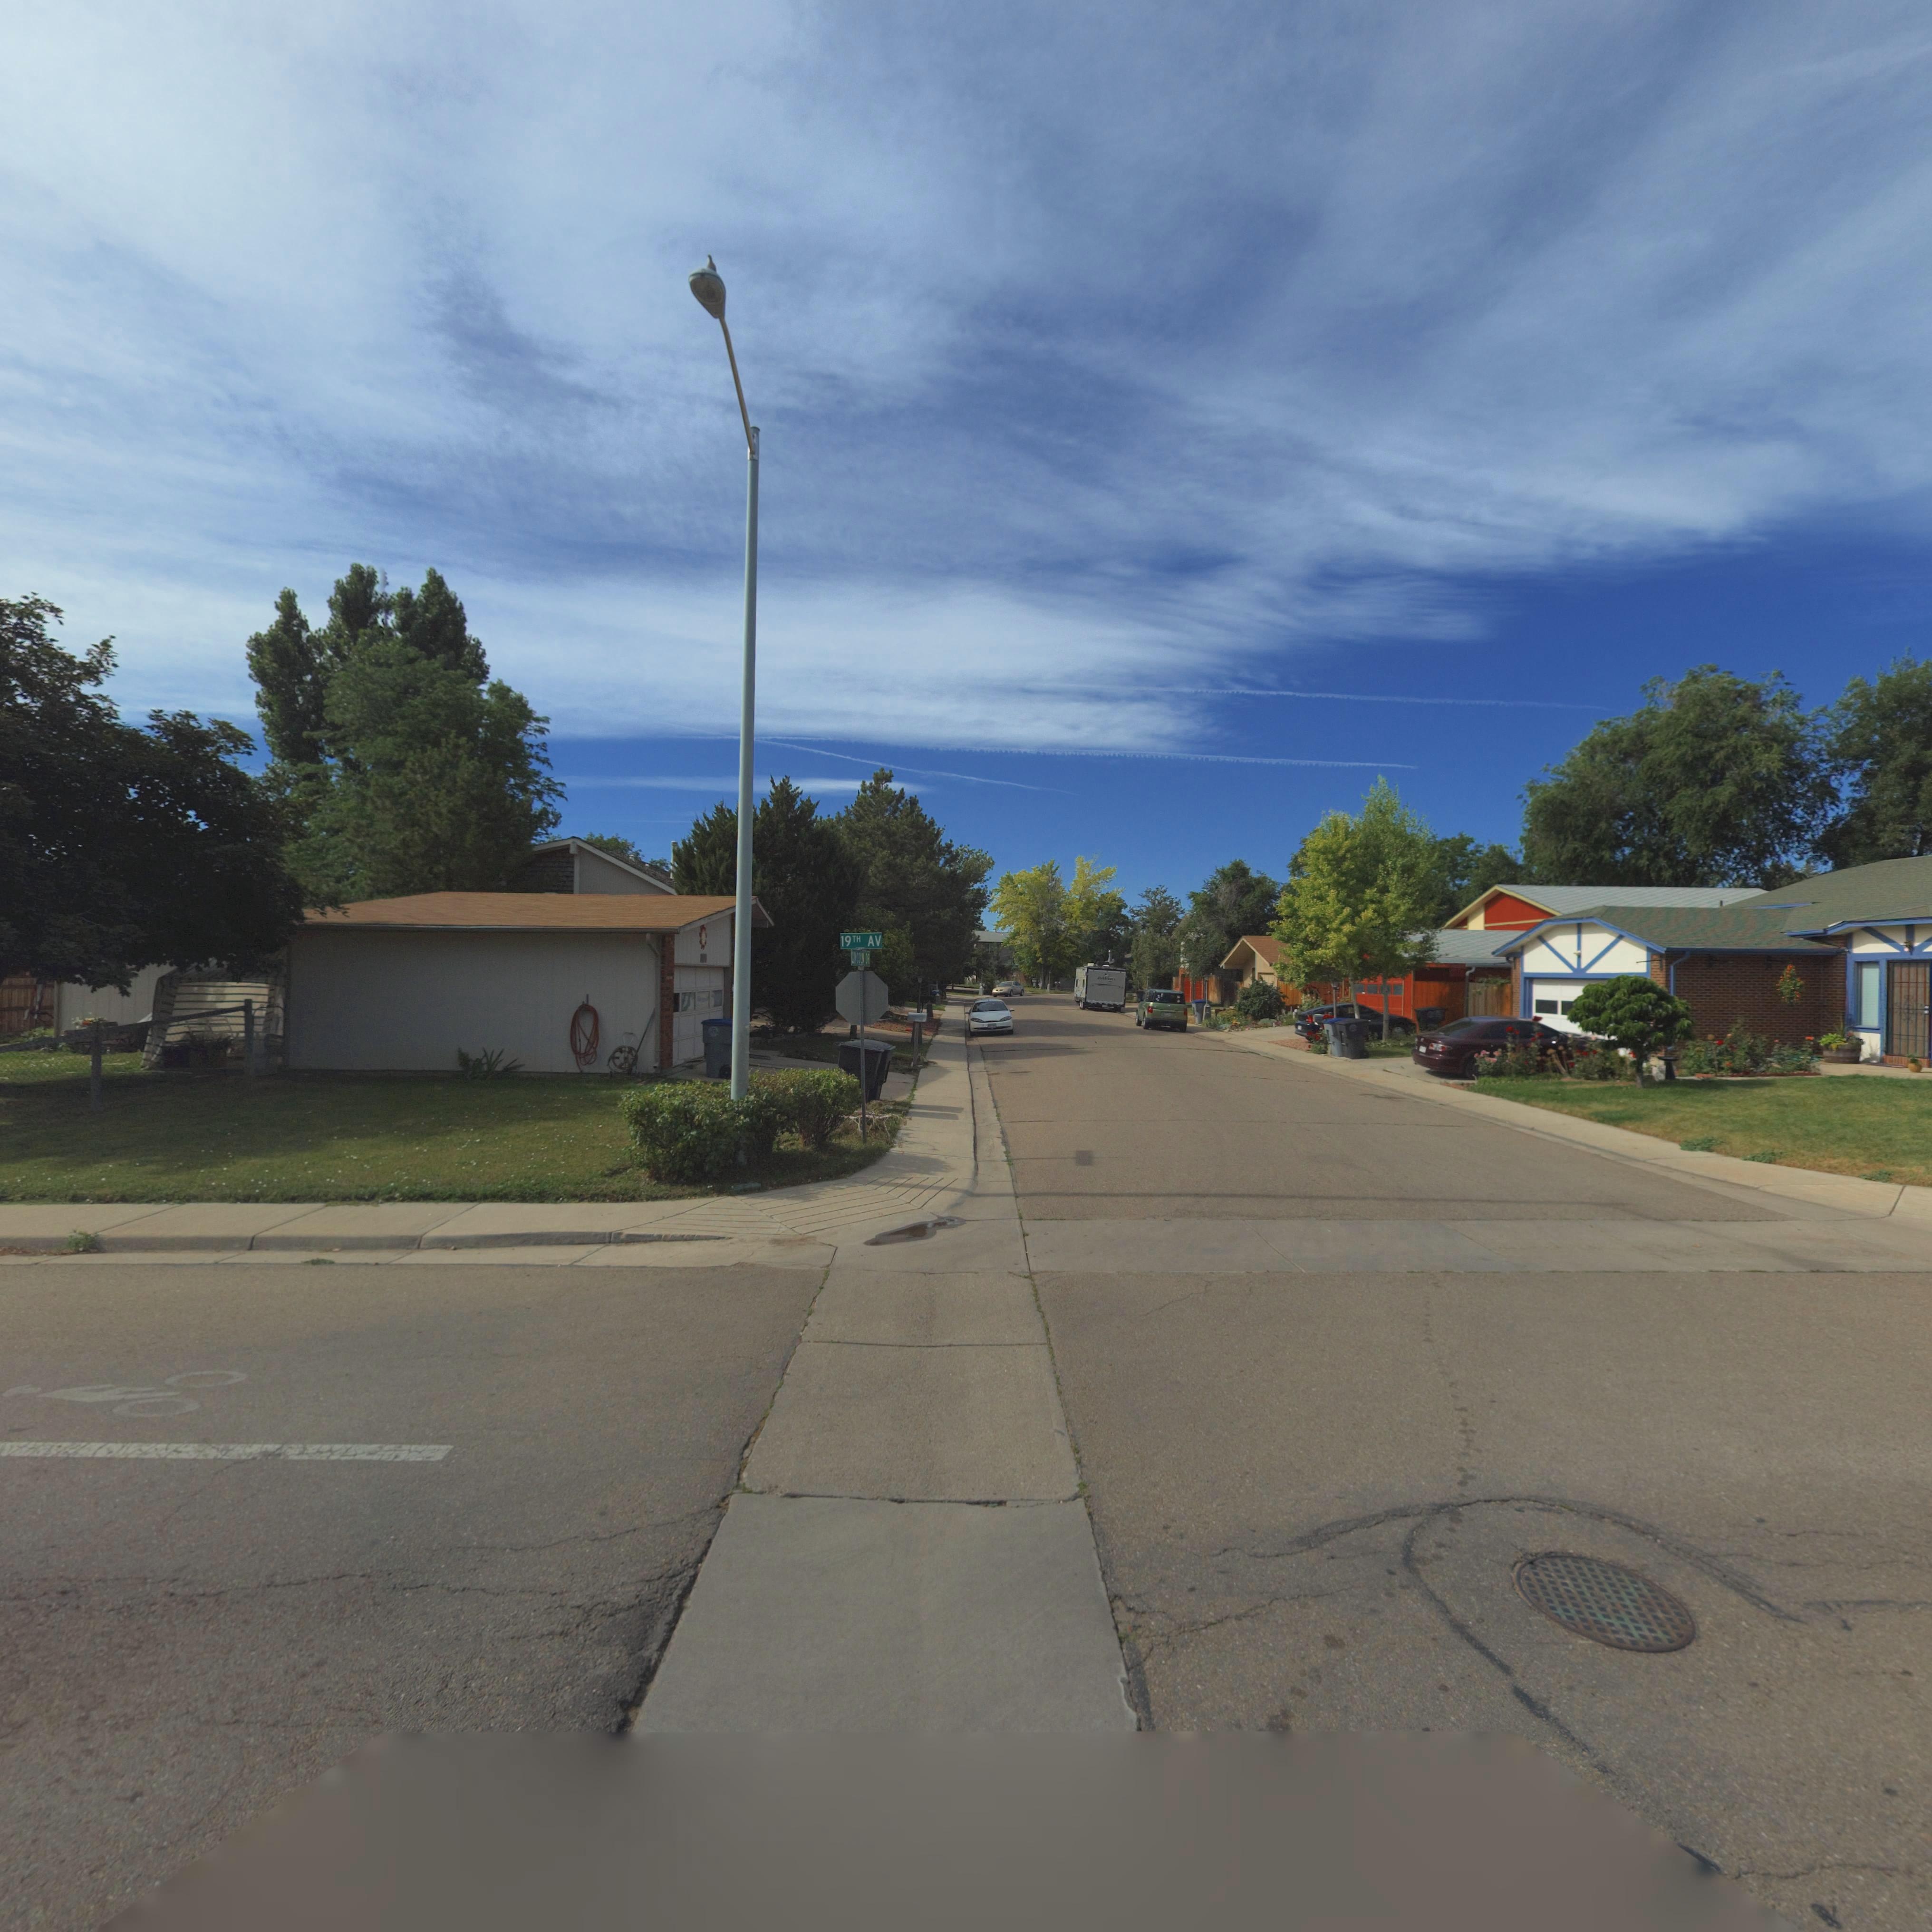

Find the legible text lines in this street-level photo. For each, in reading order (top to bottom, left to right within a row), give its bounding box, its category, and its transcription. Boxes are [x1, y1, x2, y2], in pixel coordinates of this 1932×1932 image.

[840, 934, 883, 948] StreetName: 19TH AV
[850, 951, 870, 964] StreetName: LINCOLN DR